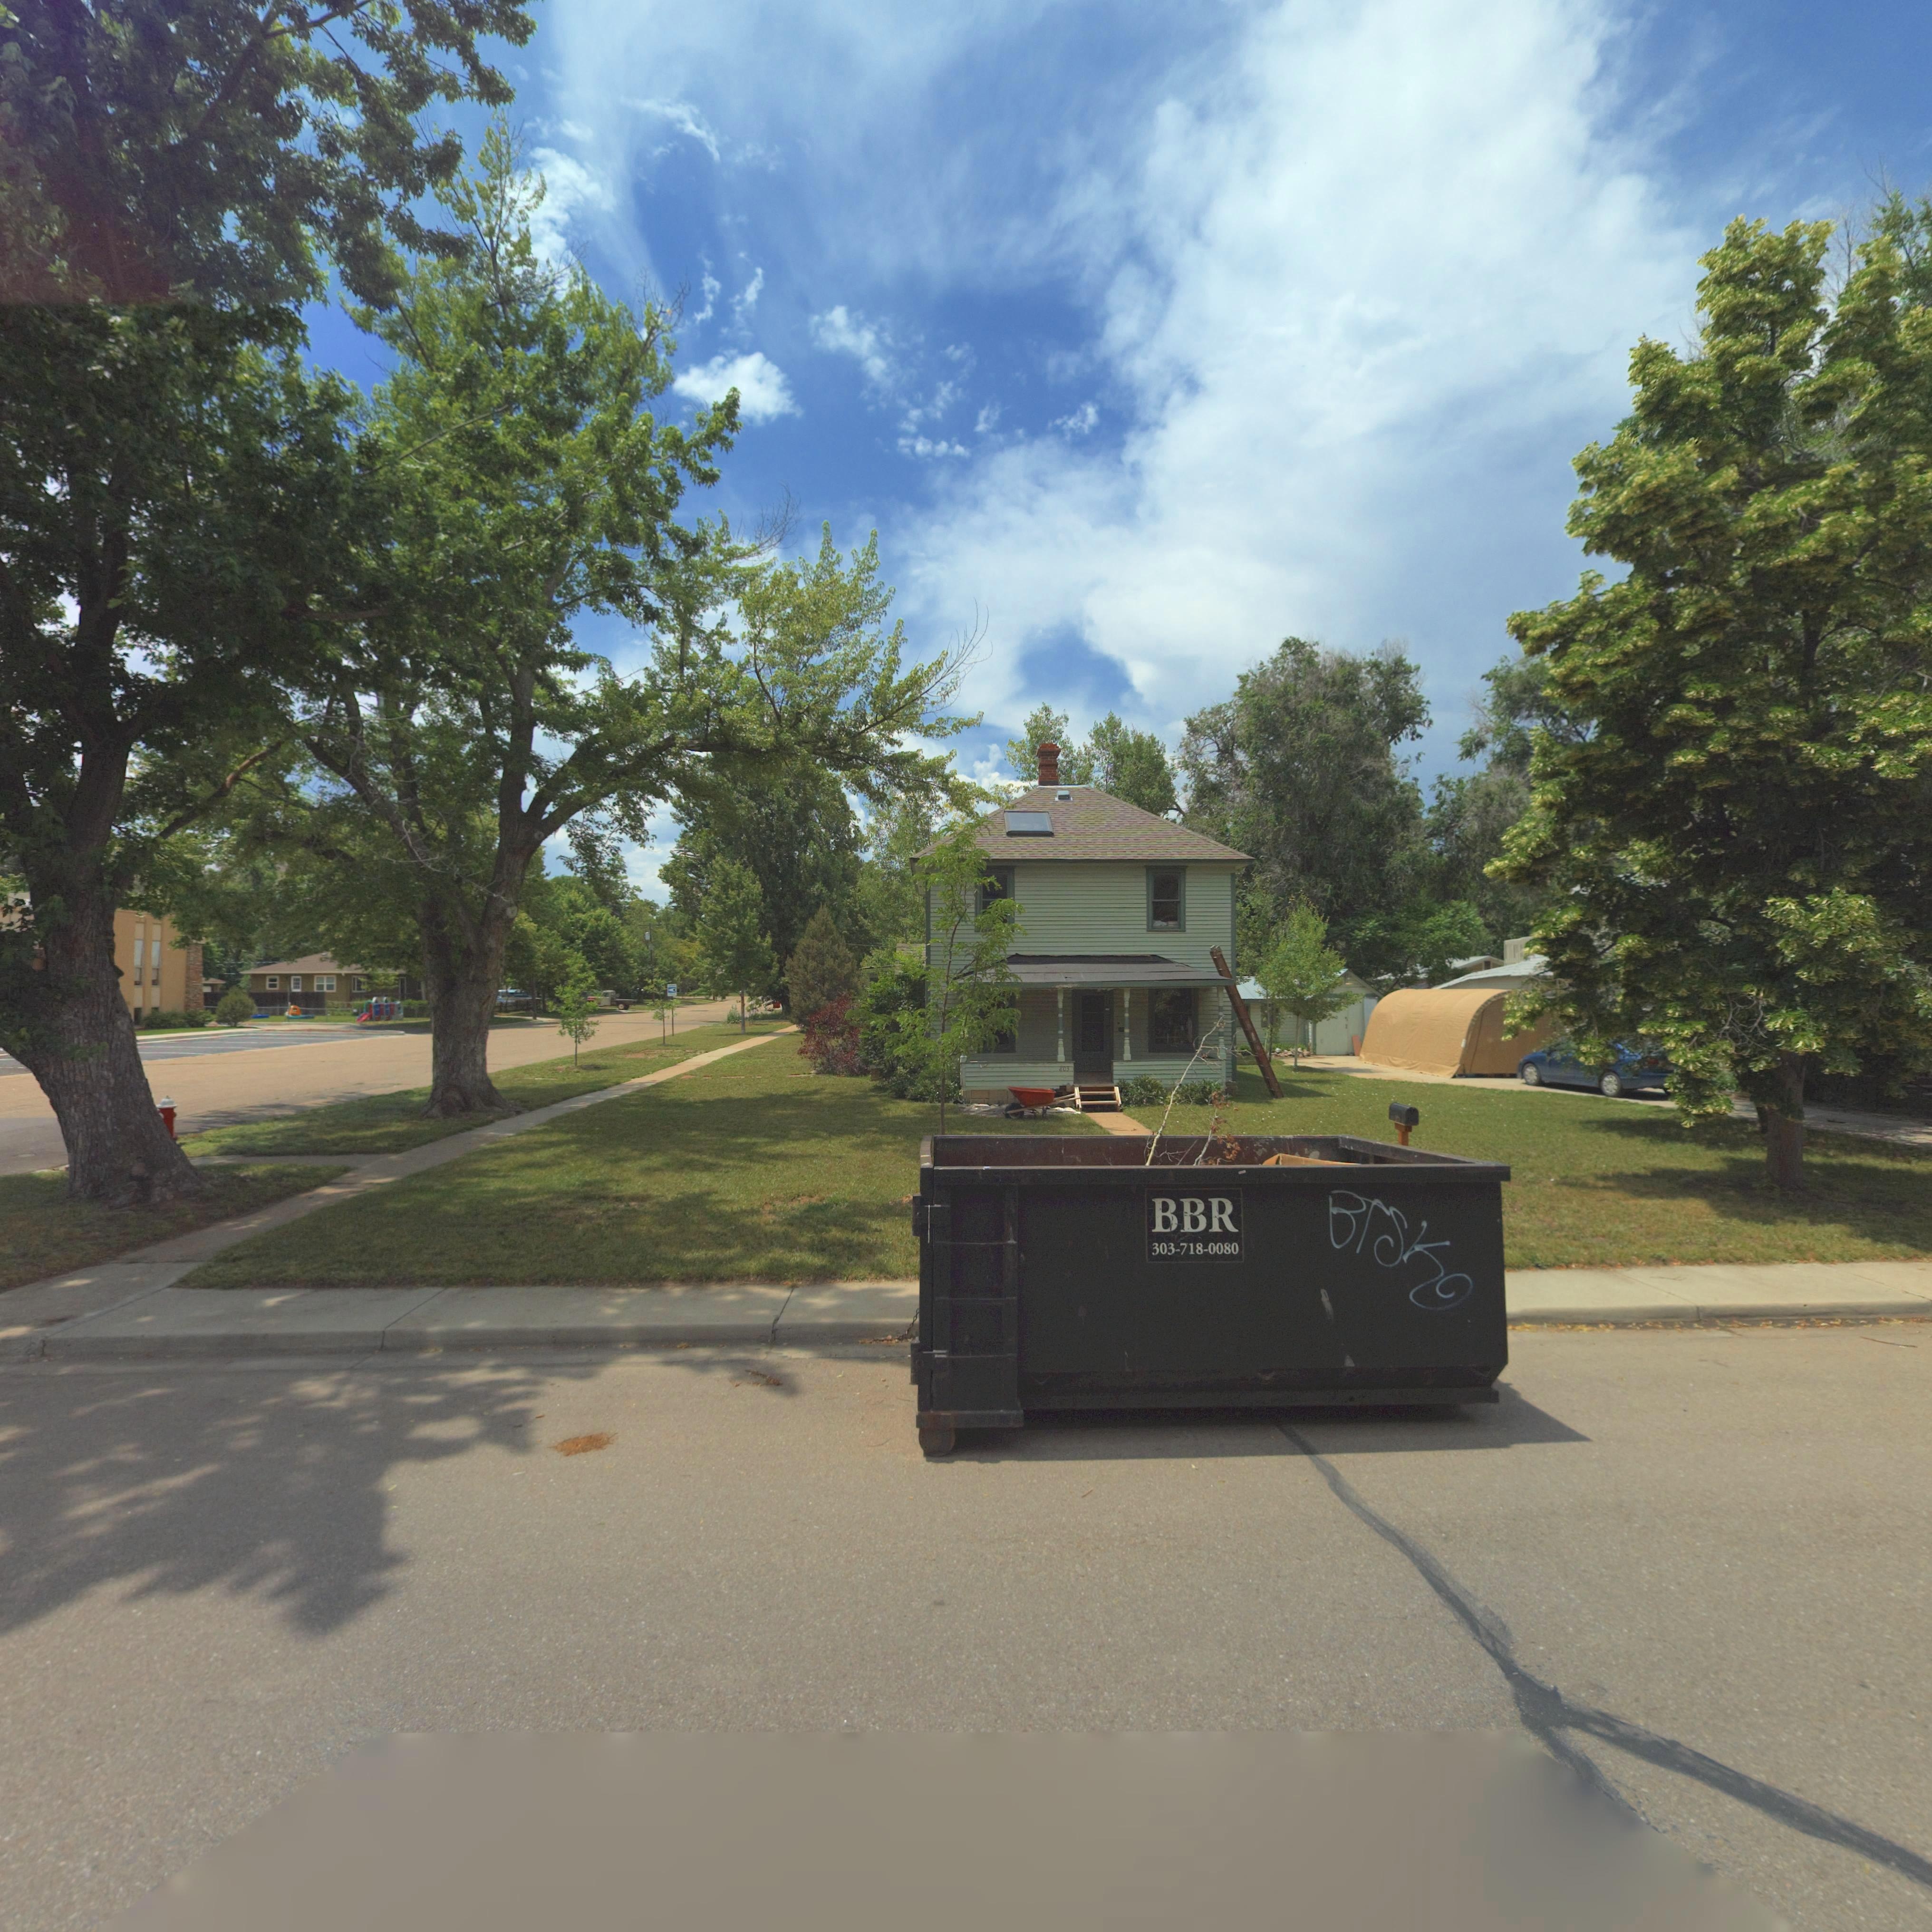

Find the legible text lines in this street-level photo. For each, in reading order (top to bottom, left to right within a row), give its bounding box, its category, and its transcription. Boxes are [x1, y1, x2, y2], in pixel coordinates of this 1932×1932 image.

[1059, 1066, 1069, 1072] StreetNumber: 803